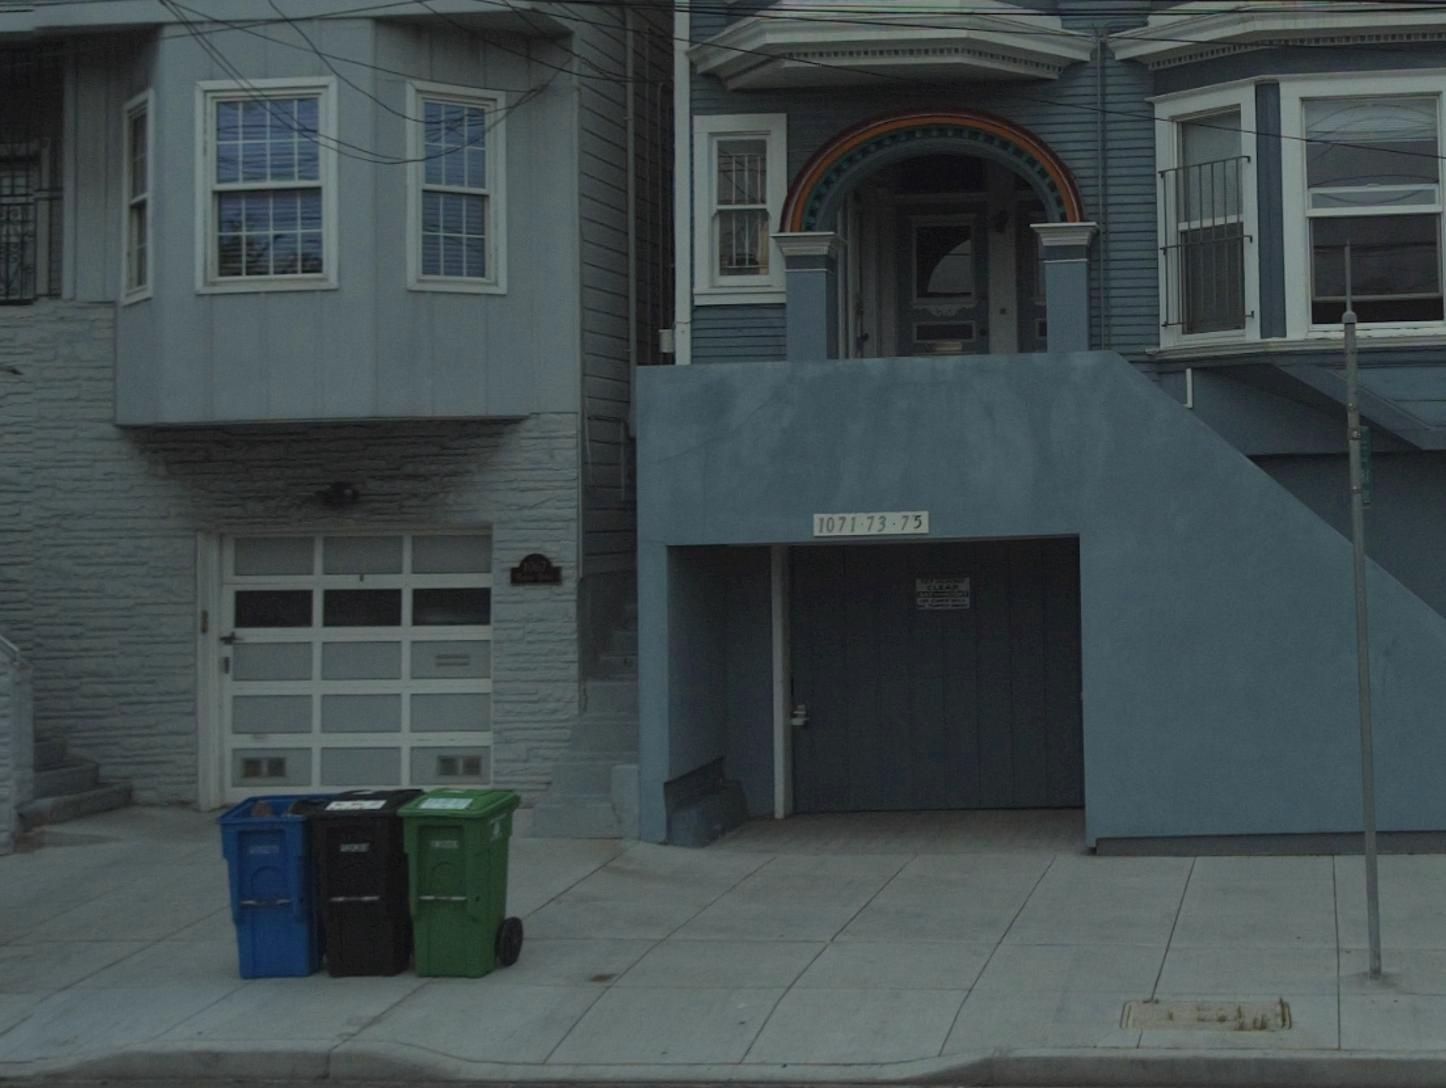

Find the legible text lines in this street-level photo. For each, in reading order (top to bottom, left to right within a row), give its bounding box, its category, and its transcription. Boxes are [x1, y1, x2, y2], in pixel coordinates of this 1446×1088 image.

[818, 513, 923, 534] StreetNumber: 1071-73-75
[521, 559, 548, 574] StreetNumber: 1067
[925, 584, 959, 591] None: CLEAR